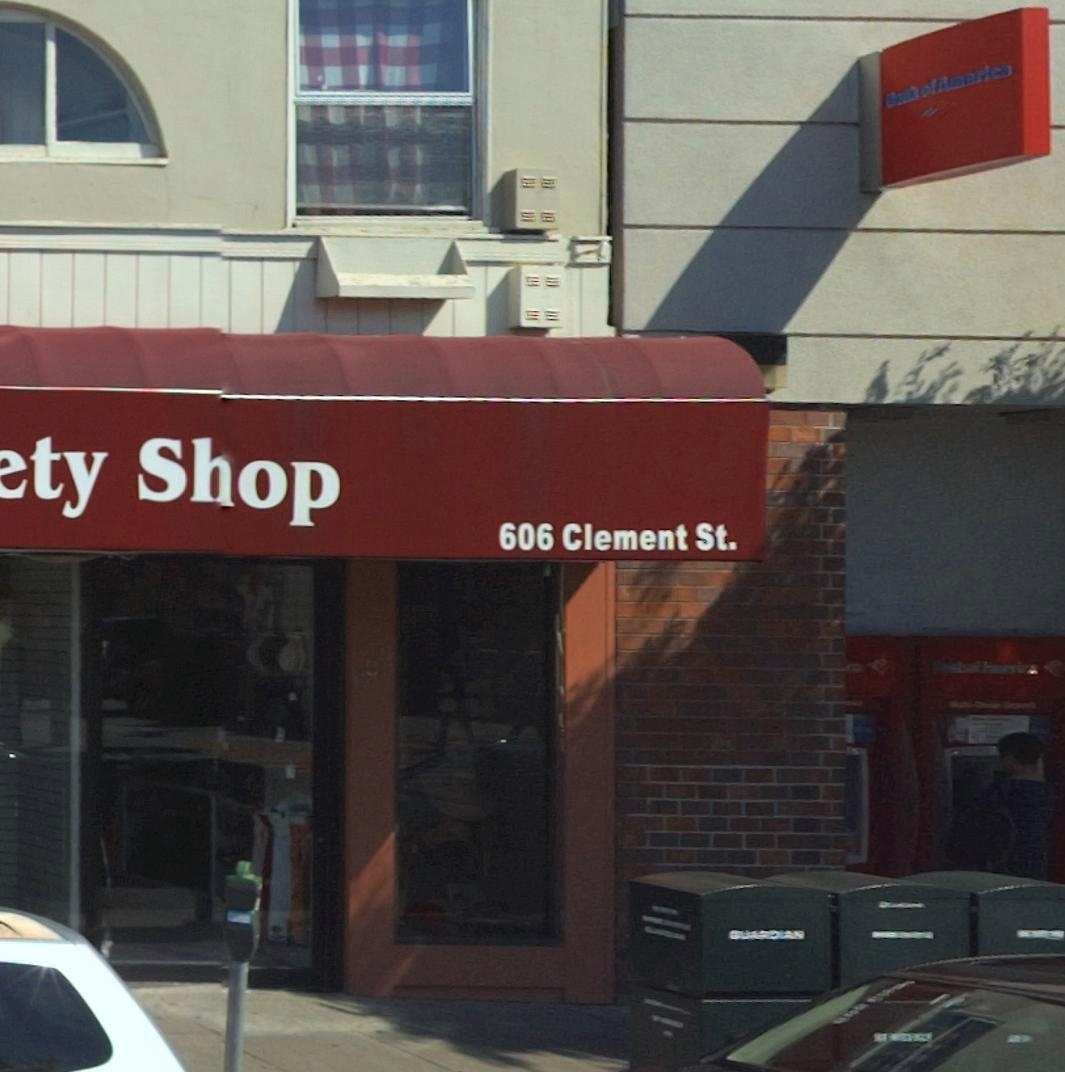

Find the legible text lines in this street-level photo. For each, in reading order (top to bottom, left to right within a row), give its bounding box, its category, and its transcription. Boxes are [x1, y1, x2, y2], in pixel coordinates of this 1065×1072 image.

[26, 431, 343, 529] BusinessName: ty Shop
[497, 520, 557, 552] StreetNumber: 606
[561, 519, 738, 553] StreetName: Clement St.